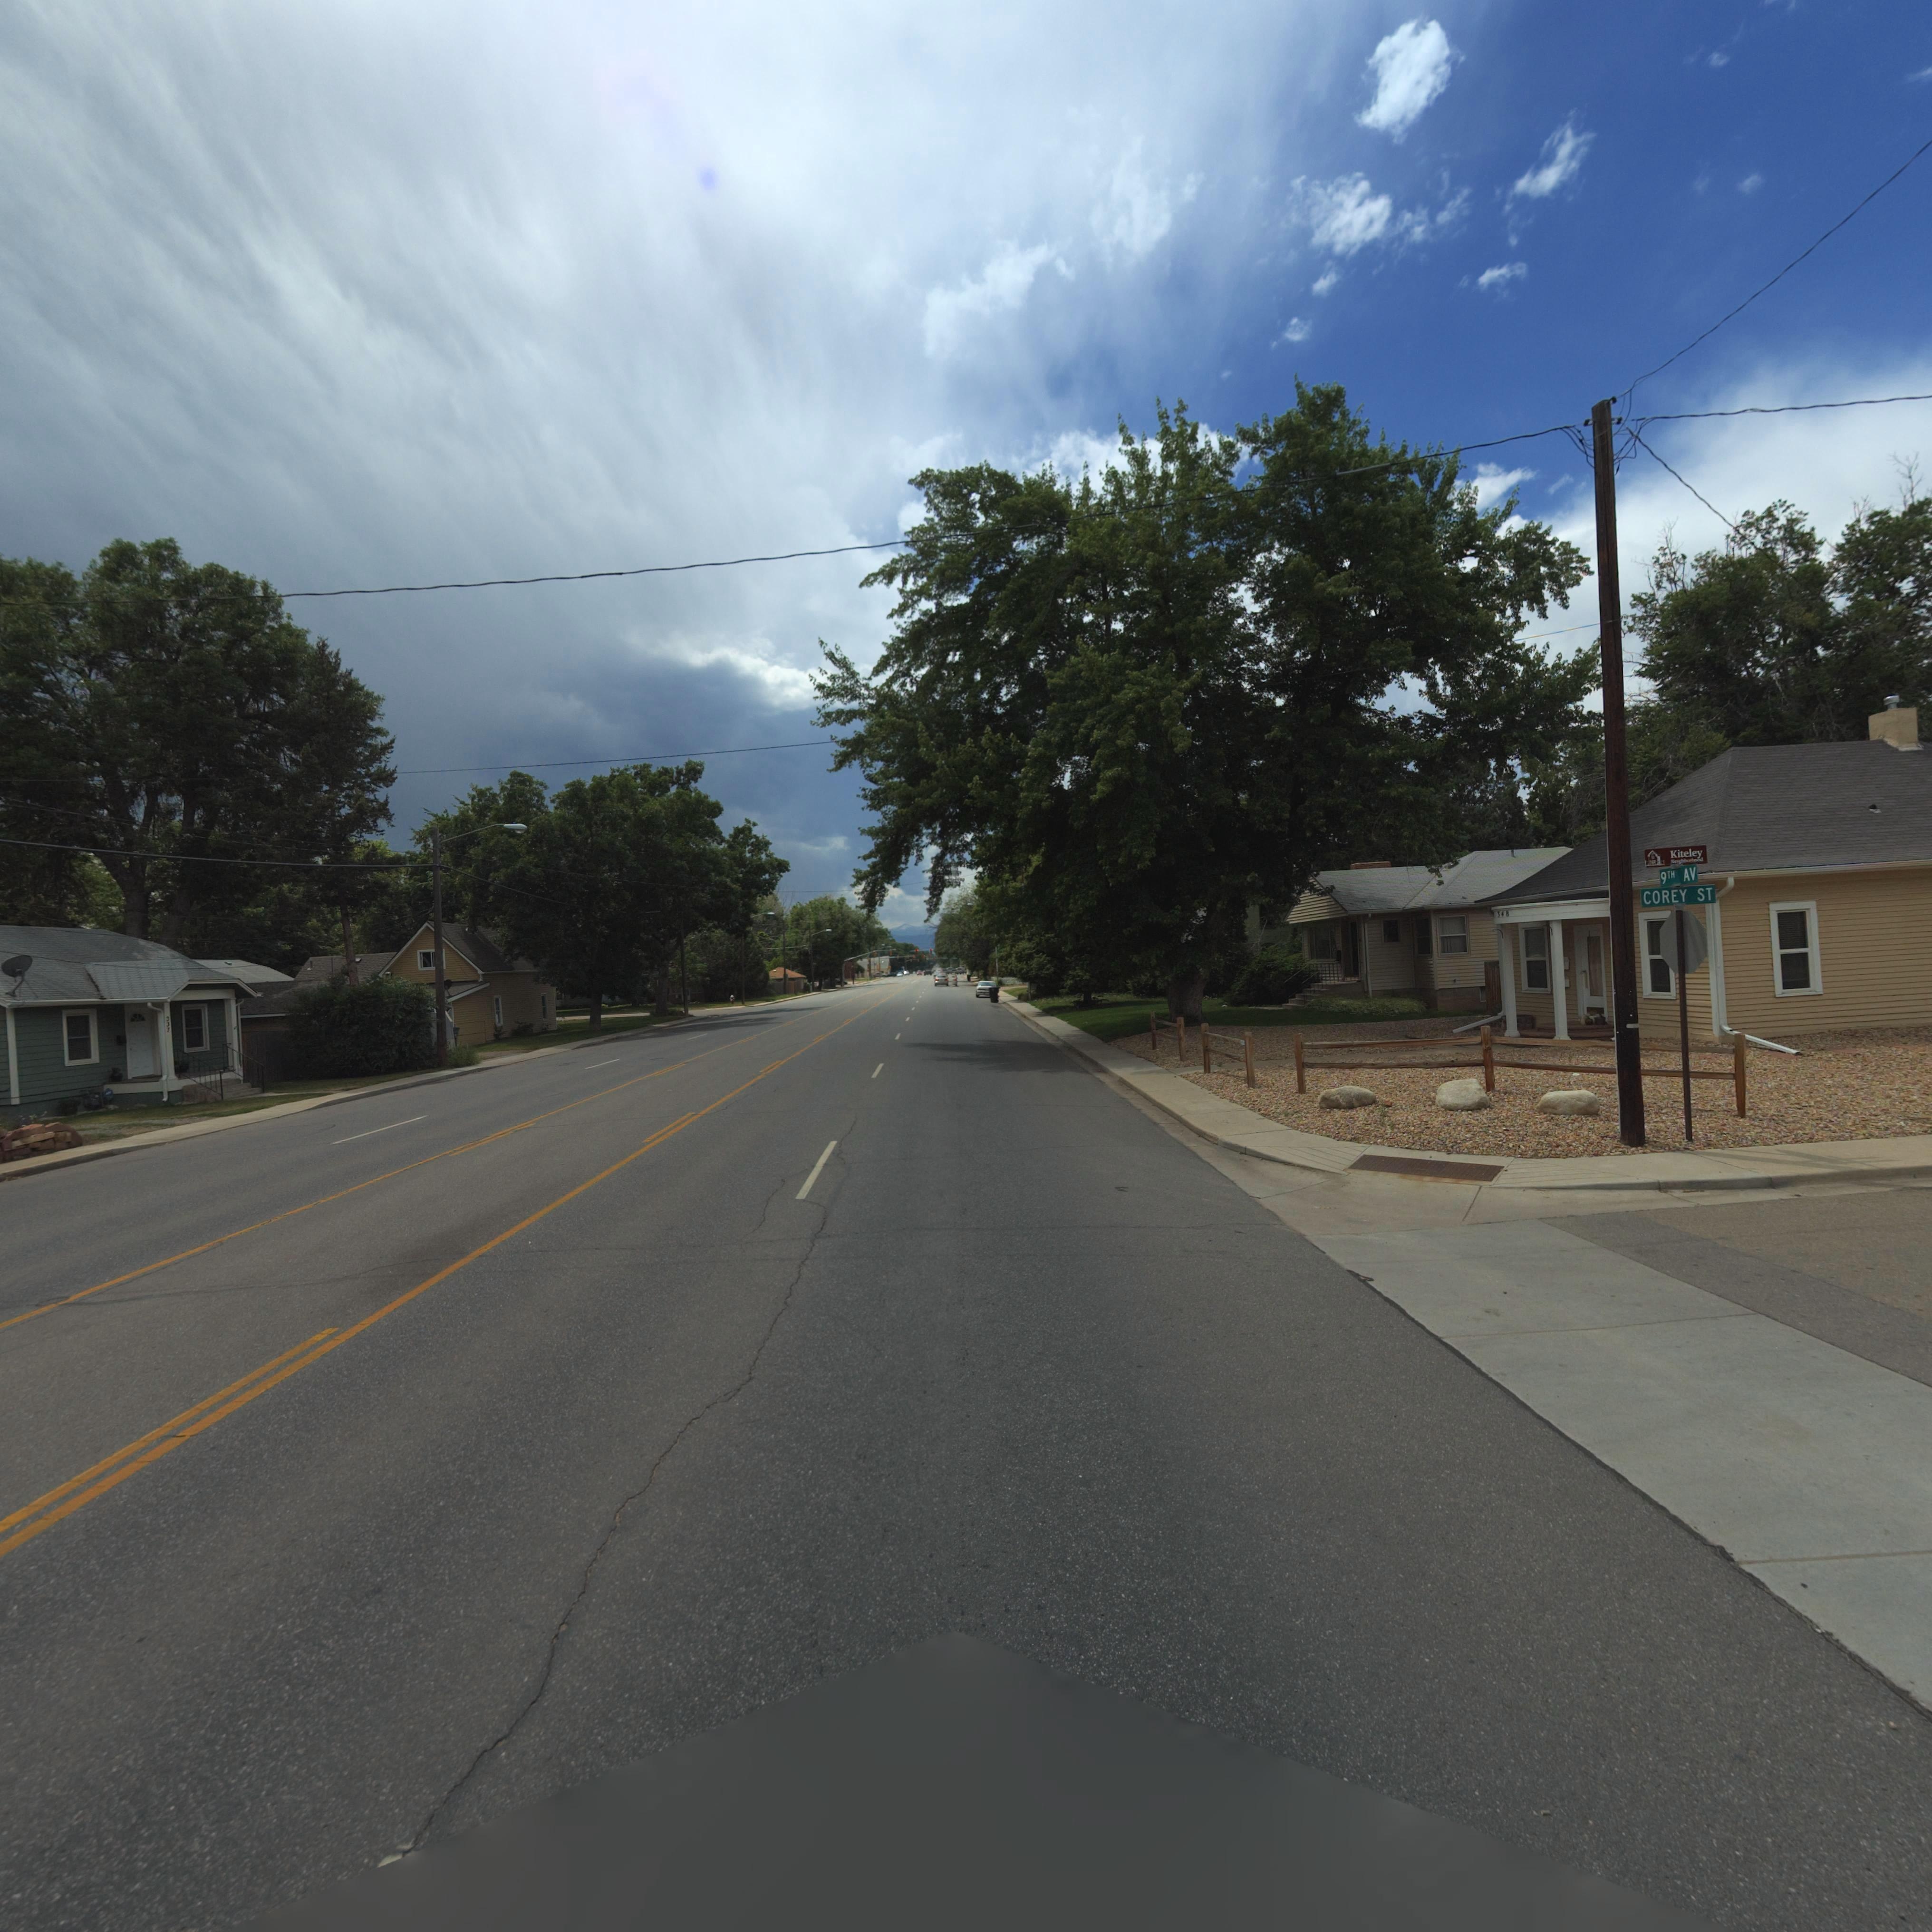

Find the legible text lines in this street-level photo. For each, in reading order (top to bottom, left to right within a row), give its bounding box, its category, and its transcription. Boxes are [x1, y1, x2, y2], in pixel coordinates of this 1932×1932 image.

[1661, 867, 1695, 884] StreetName: 9TH AV
[1643, 888, 1713, 904] StreetName: COREY ST
[1496, 910, 1509, 918] StreetNumber: 348
[165, 1016, 170, 1033] StreetNumber: 337